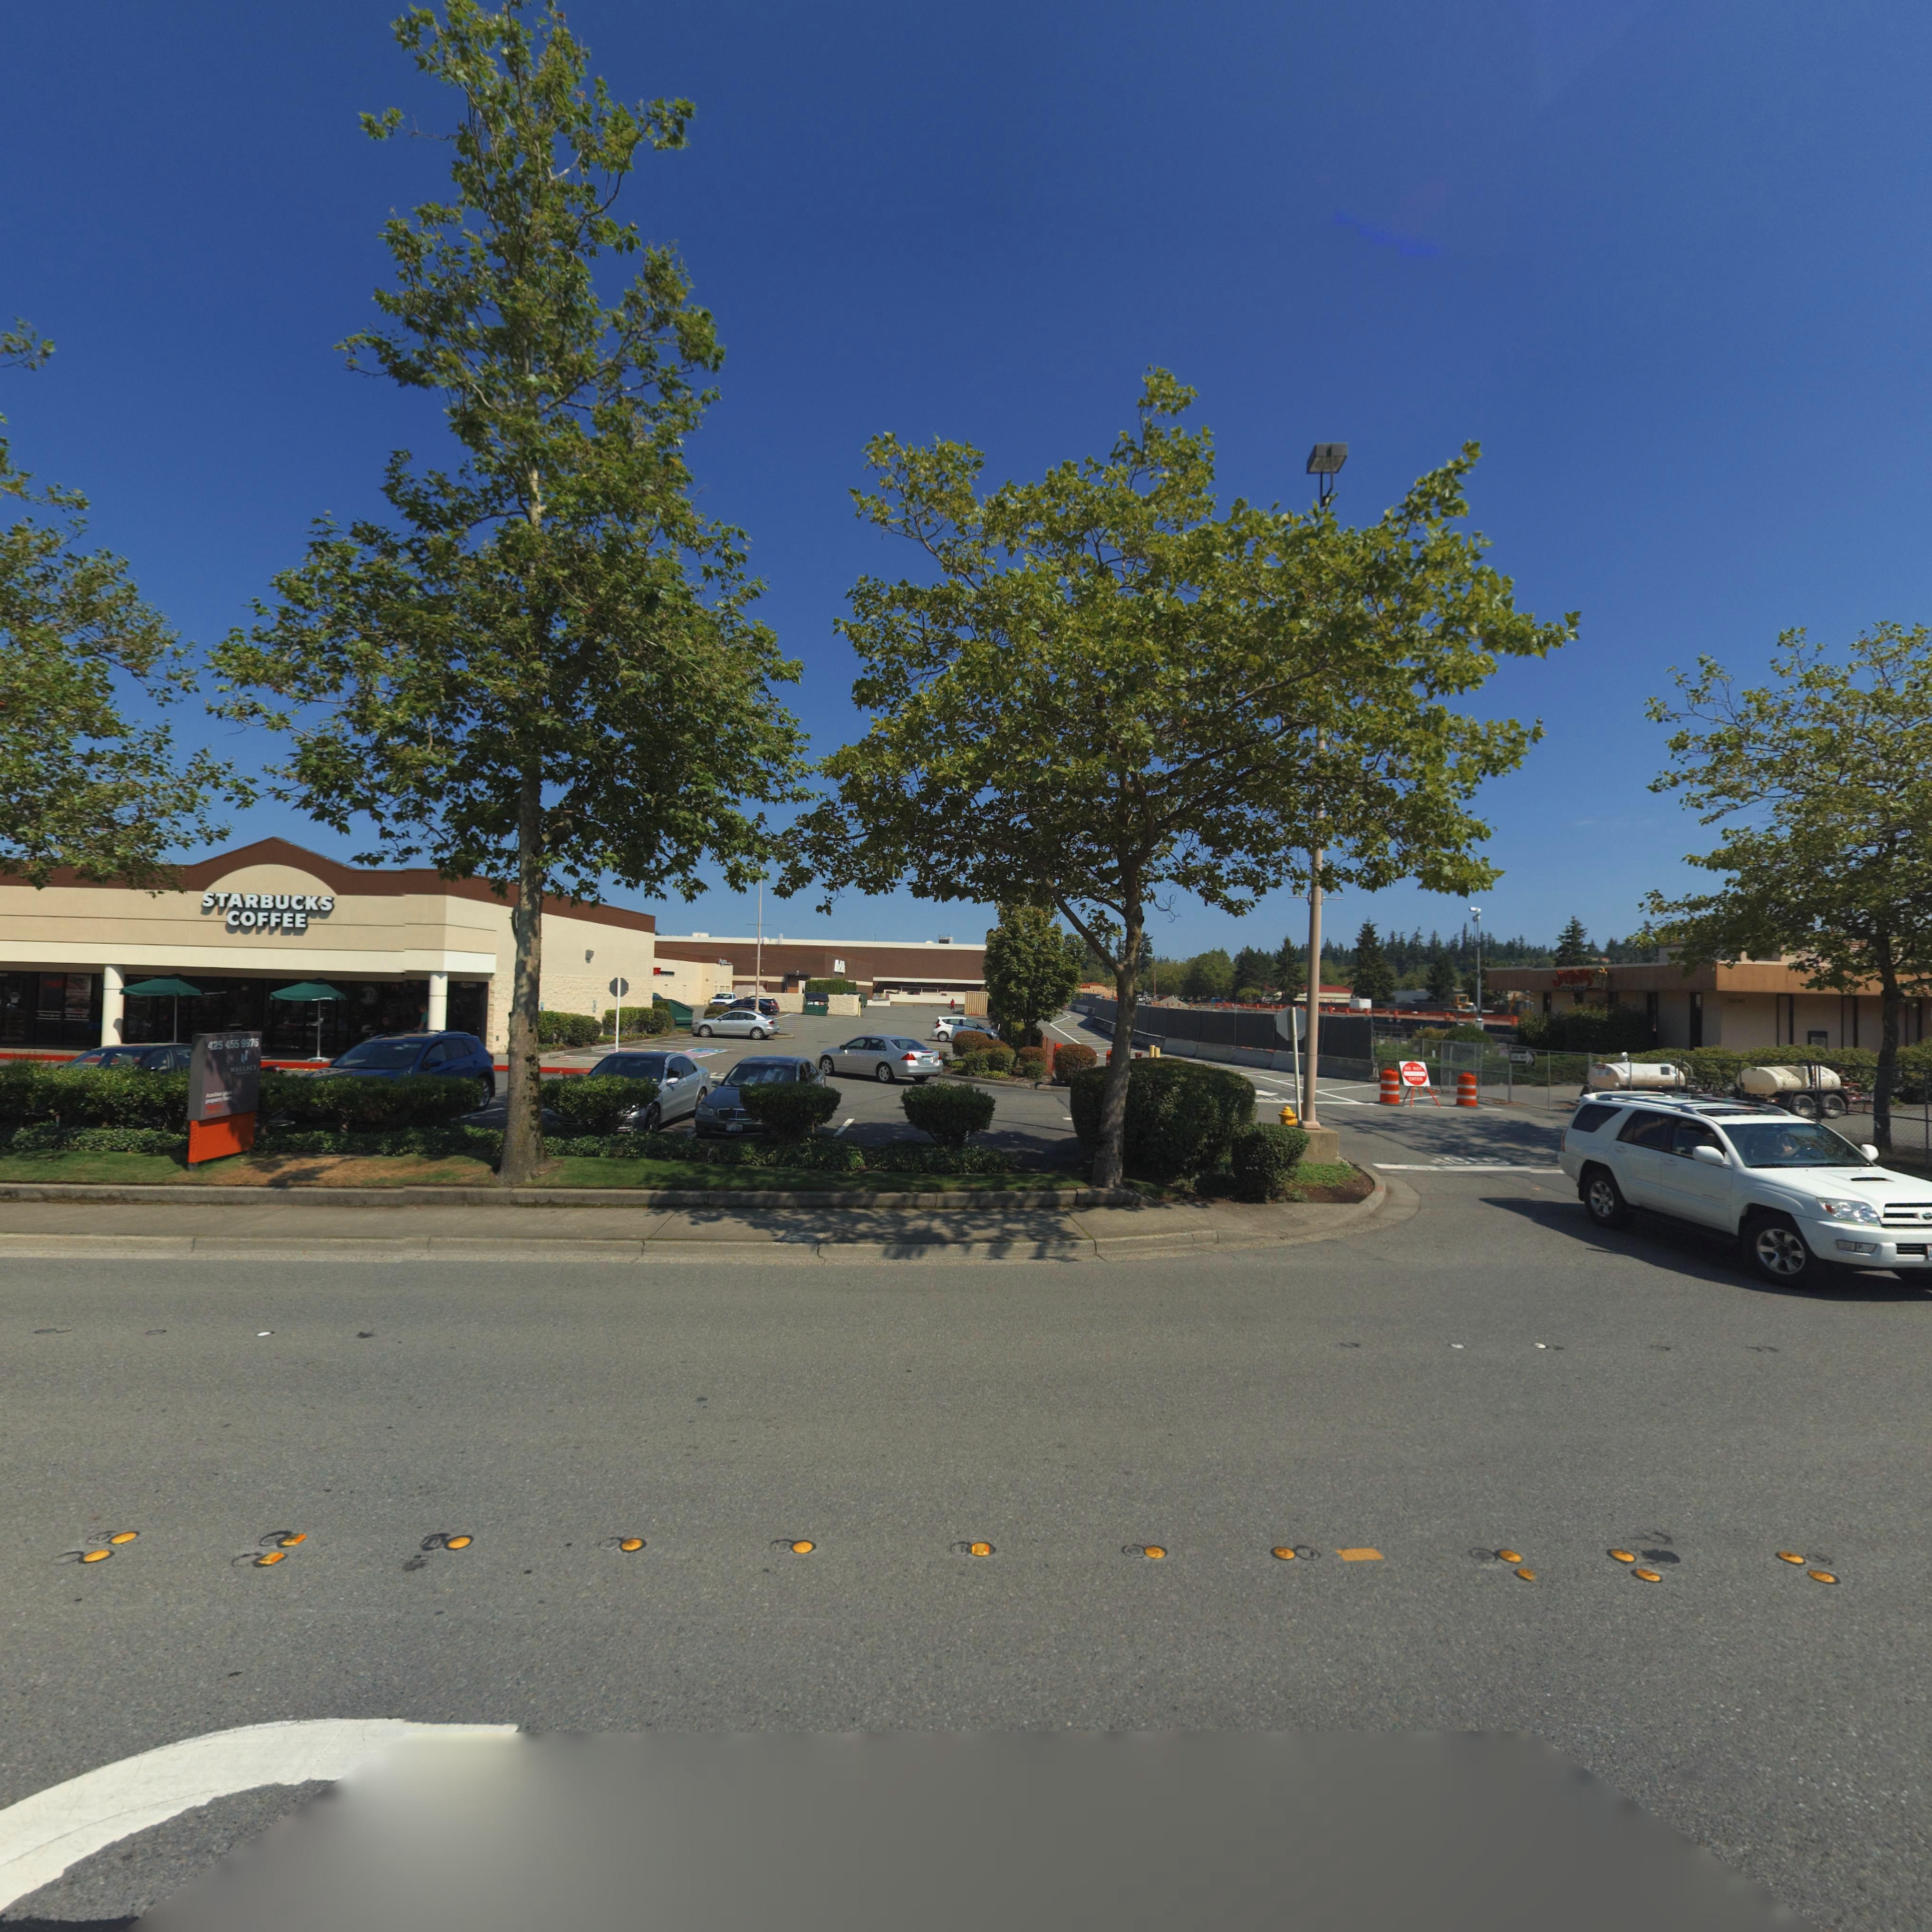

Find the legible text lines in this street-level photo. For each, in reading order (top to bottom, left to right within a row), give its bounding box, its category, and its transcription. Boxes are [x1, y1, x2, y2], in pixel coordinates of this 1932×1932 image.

[201, 891, 336, 912] BusinessName: STARBUCKS
[224, 909, 308, 928] BusinessName: COFFEE